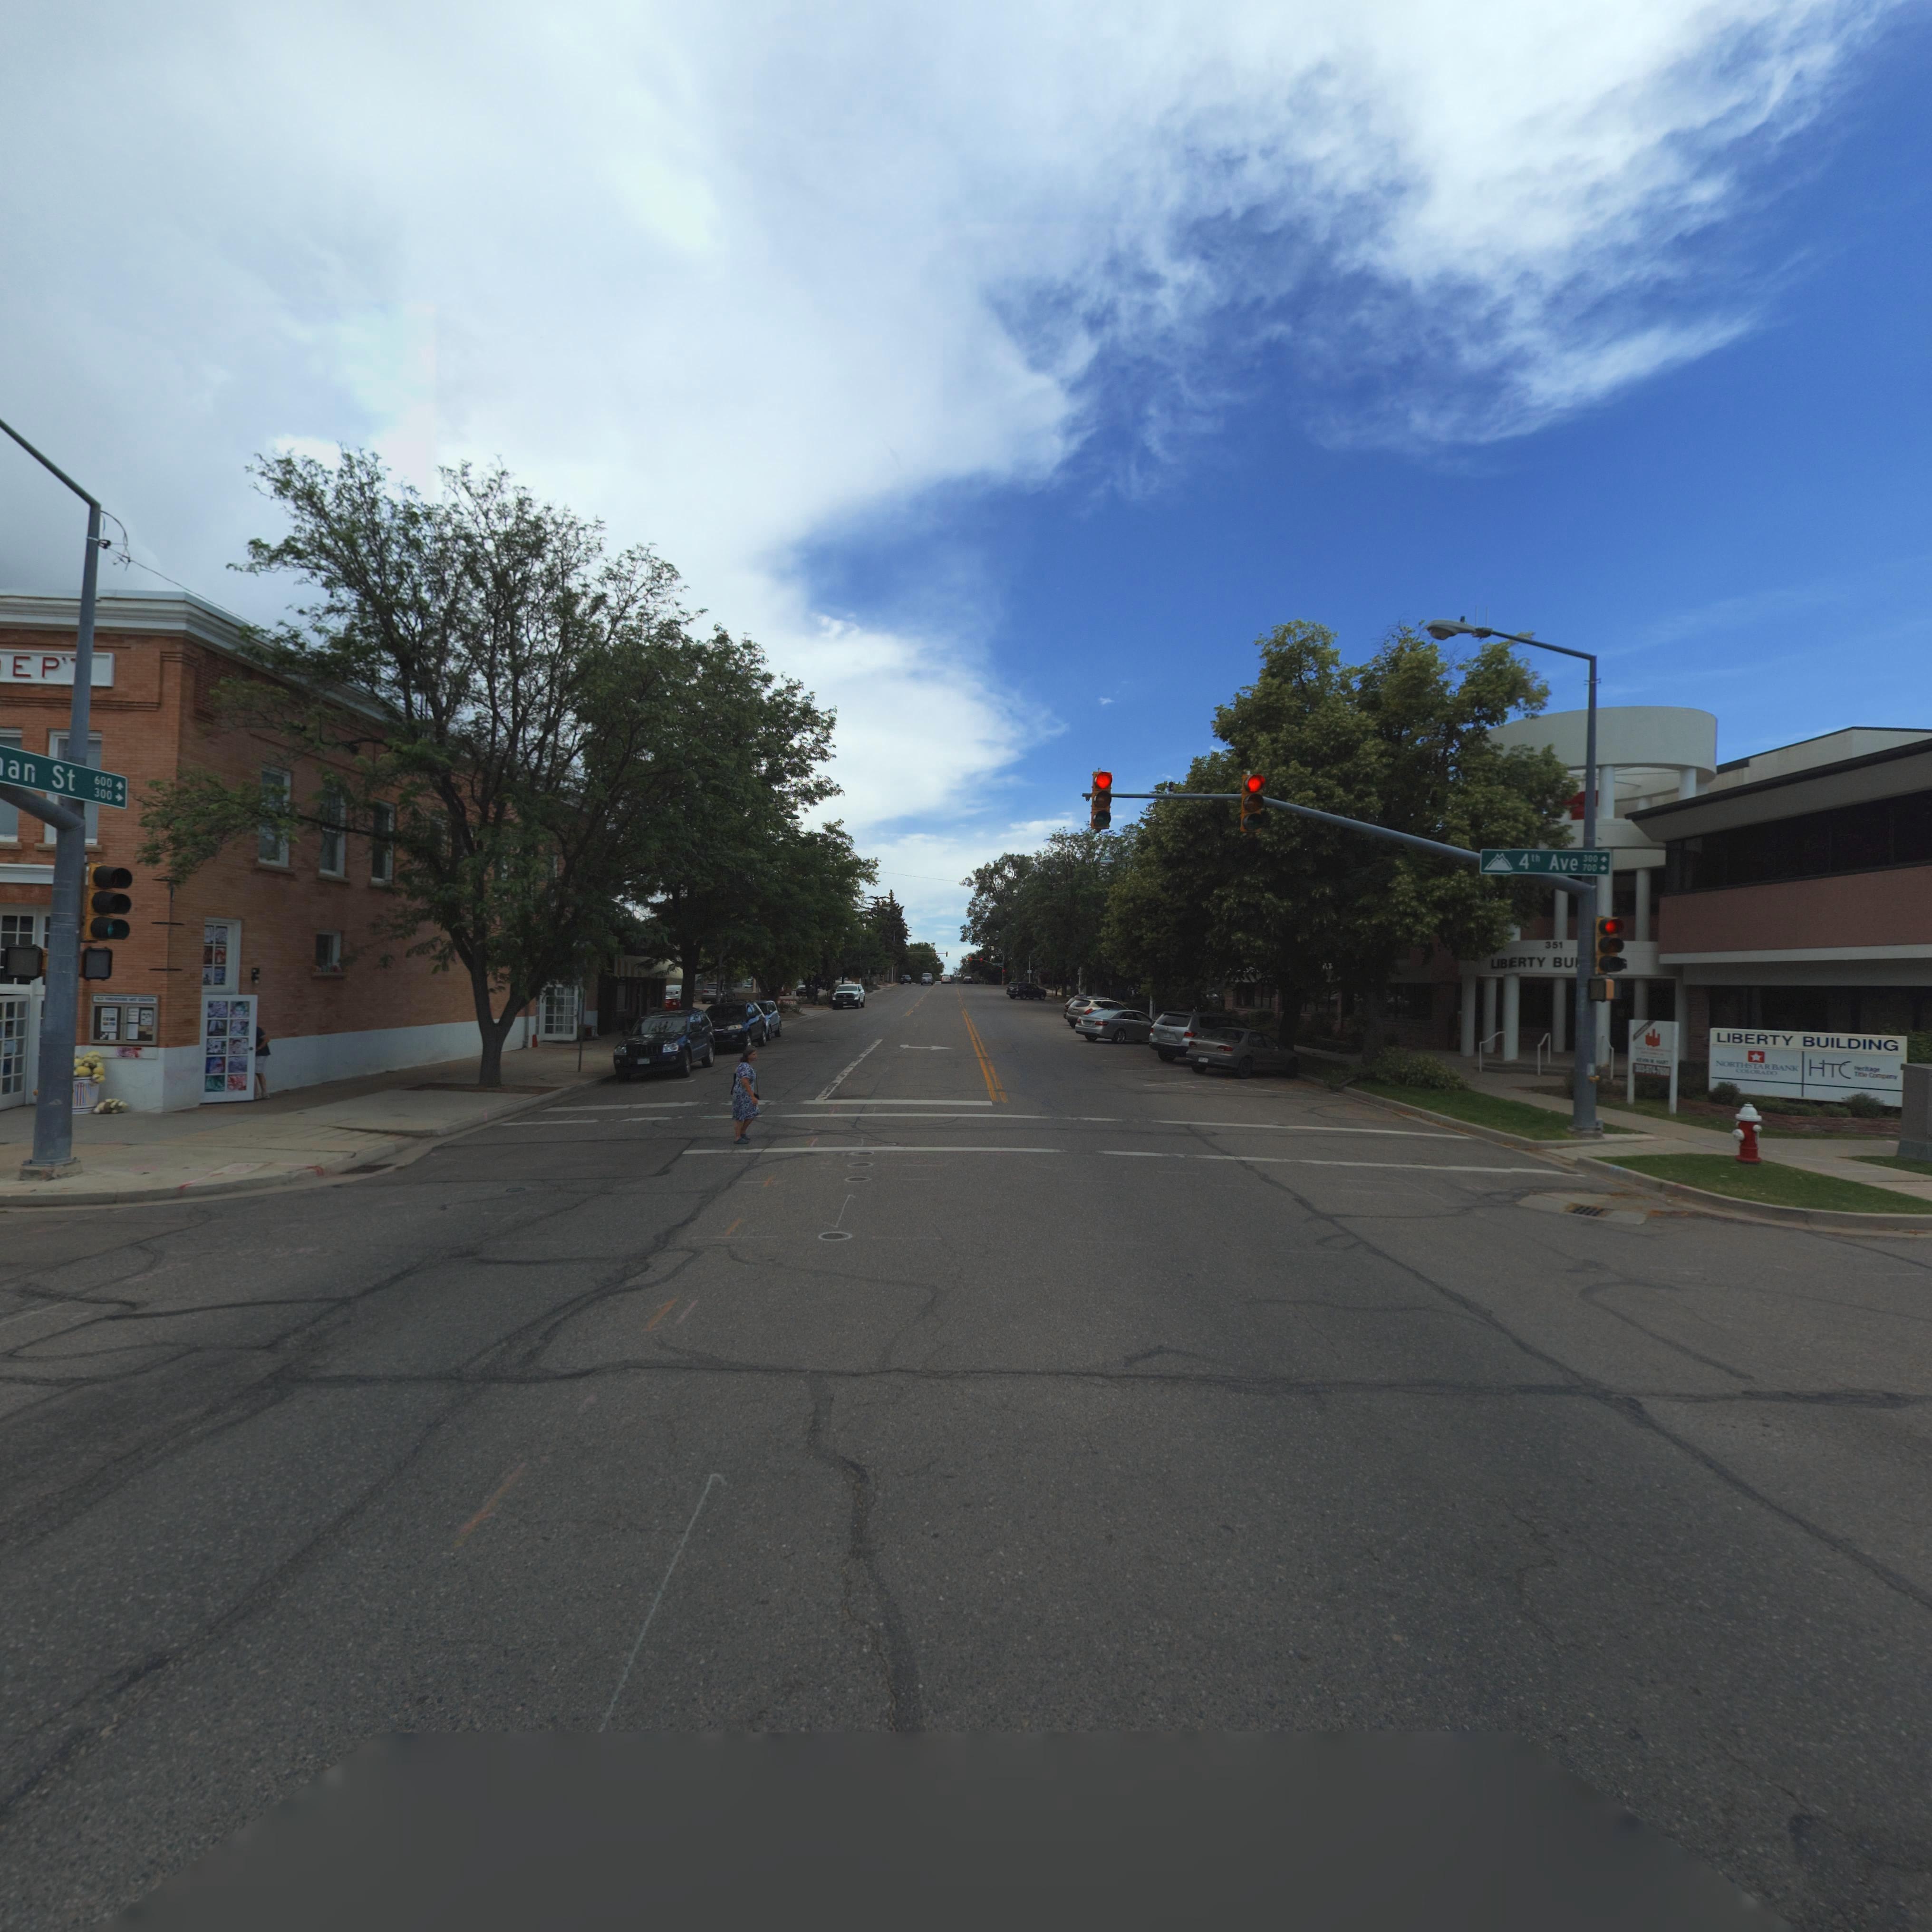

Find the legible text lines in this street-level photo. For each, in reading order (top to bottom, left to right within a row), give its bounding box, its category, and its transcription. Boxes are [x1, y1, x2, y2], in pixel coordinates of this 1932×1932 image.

[7, 759, 75, 792] StreetName: an St
[94, 775, 112, 788] StreetNumber: 600
[94, 787, 124, 801] StreetNumberRange: 300 ->
[1518, 853, 1577, 871] StreetName: 4th Ave
[1583, 855, 1598, 862] StreetNumber: 300
[1583, 864, 1607, 871] StreetNumberRange: 700 ->
[1545, 940, 1563, 949] StreetNumber: 351
[1715, 1059, 1799, 1072] BusinessName: NORTHSTAR
[1808, 1058, 1852, 1079] BusinessName: HTC
[1855, 1071, 1867, 1077] BusinessName: T***
[1854, 1065, 1880, 1073] BusinessName: H*******t
[1868, 1072, 1898, 1080] BusinessName: Com***y